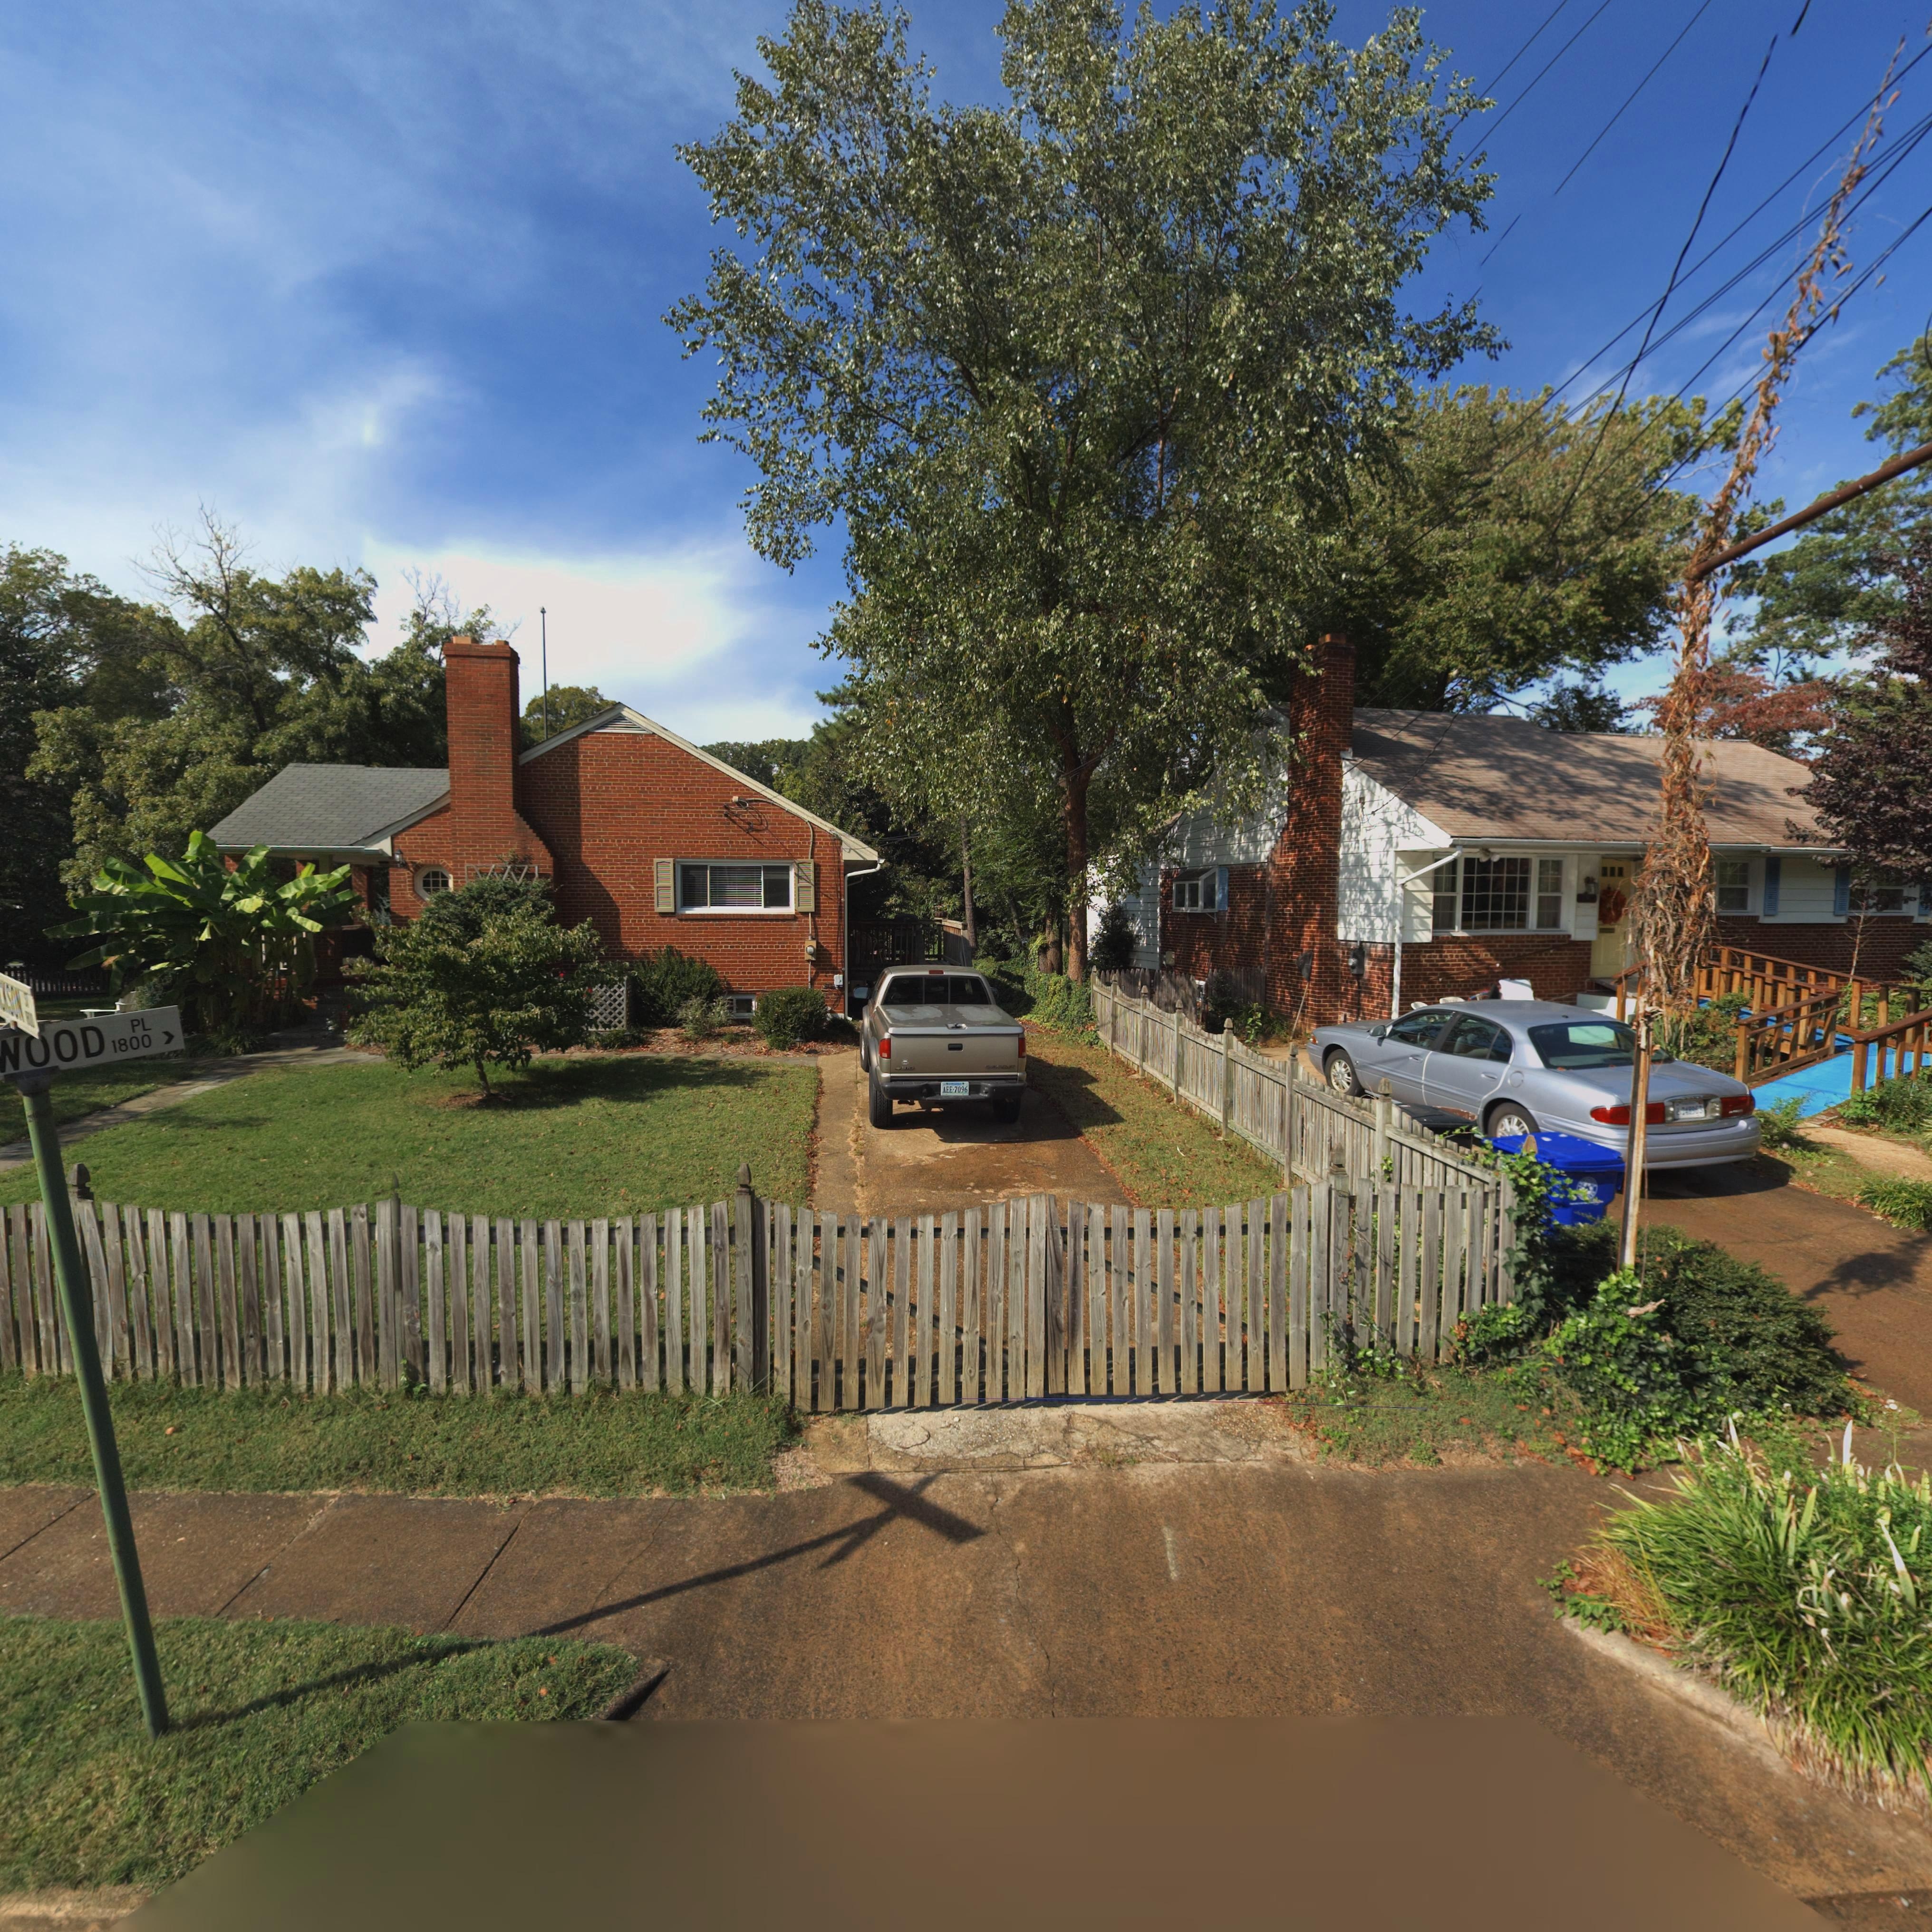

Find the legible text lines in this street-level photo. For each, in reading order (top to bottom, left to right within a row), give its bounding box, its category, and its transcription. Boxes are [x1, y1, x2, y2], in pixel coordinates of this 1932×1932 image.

[129, 1017, 153, 1034] None: PL
[20, 1022, 107, 1072] None: OOD
[111, 1030, 177, 1054] None: 1800 >
[900, 1066, 914, 1070] None: 510
[984, 1064, 1015, 1069] None: CHEVROLET
[942, 1085, 968, 1093] None: AEE-7096
[1681, 1105, 1703, 1116] None: 248953